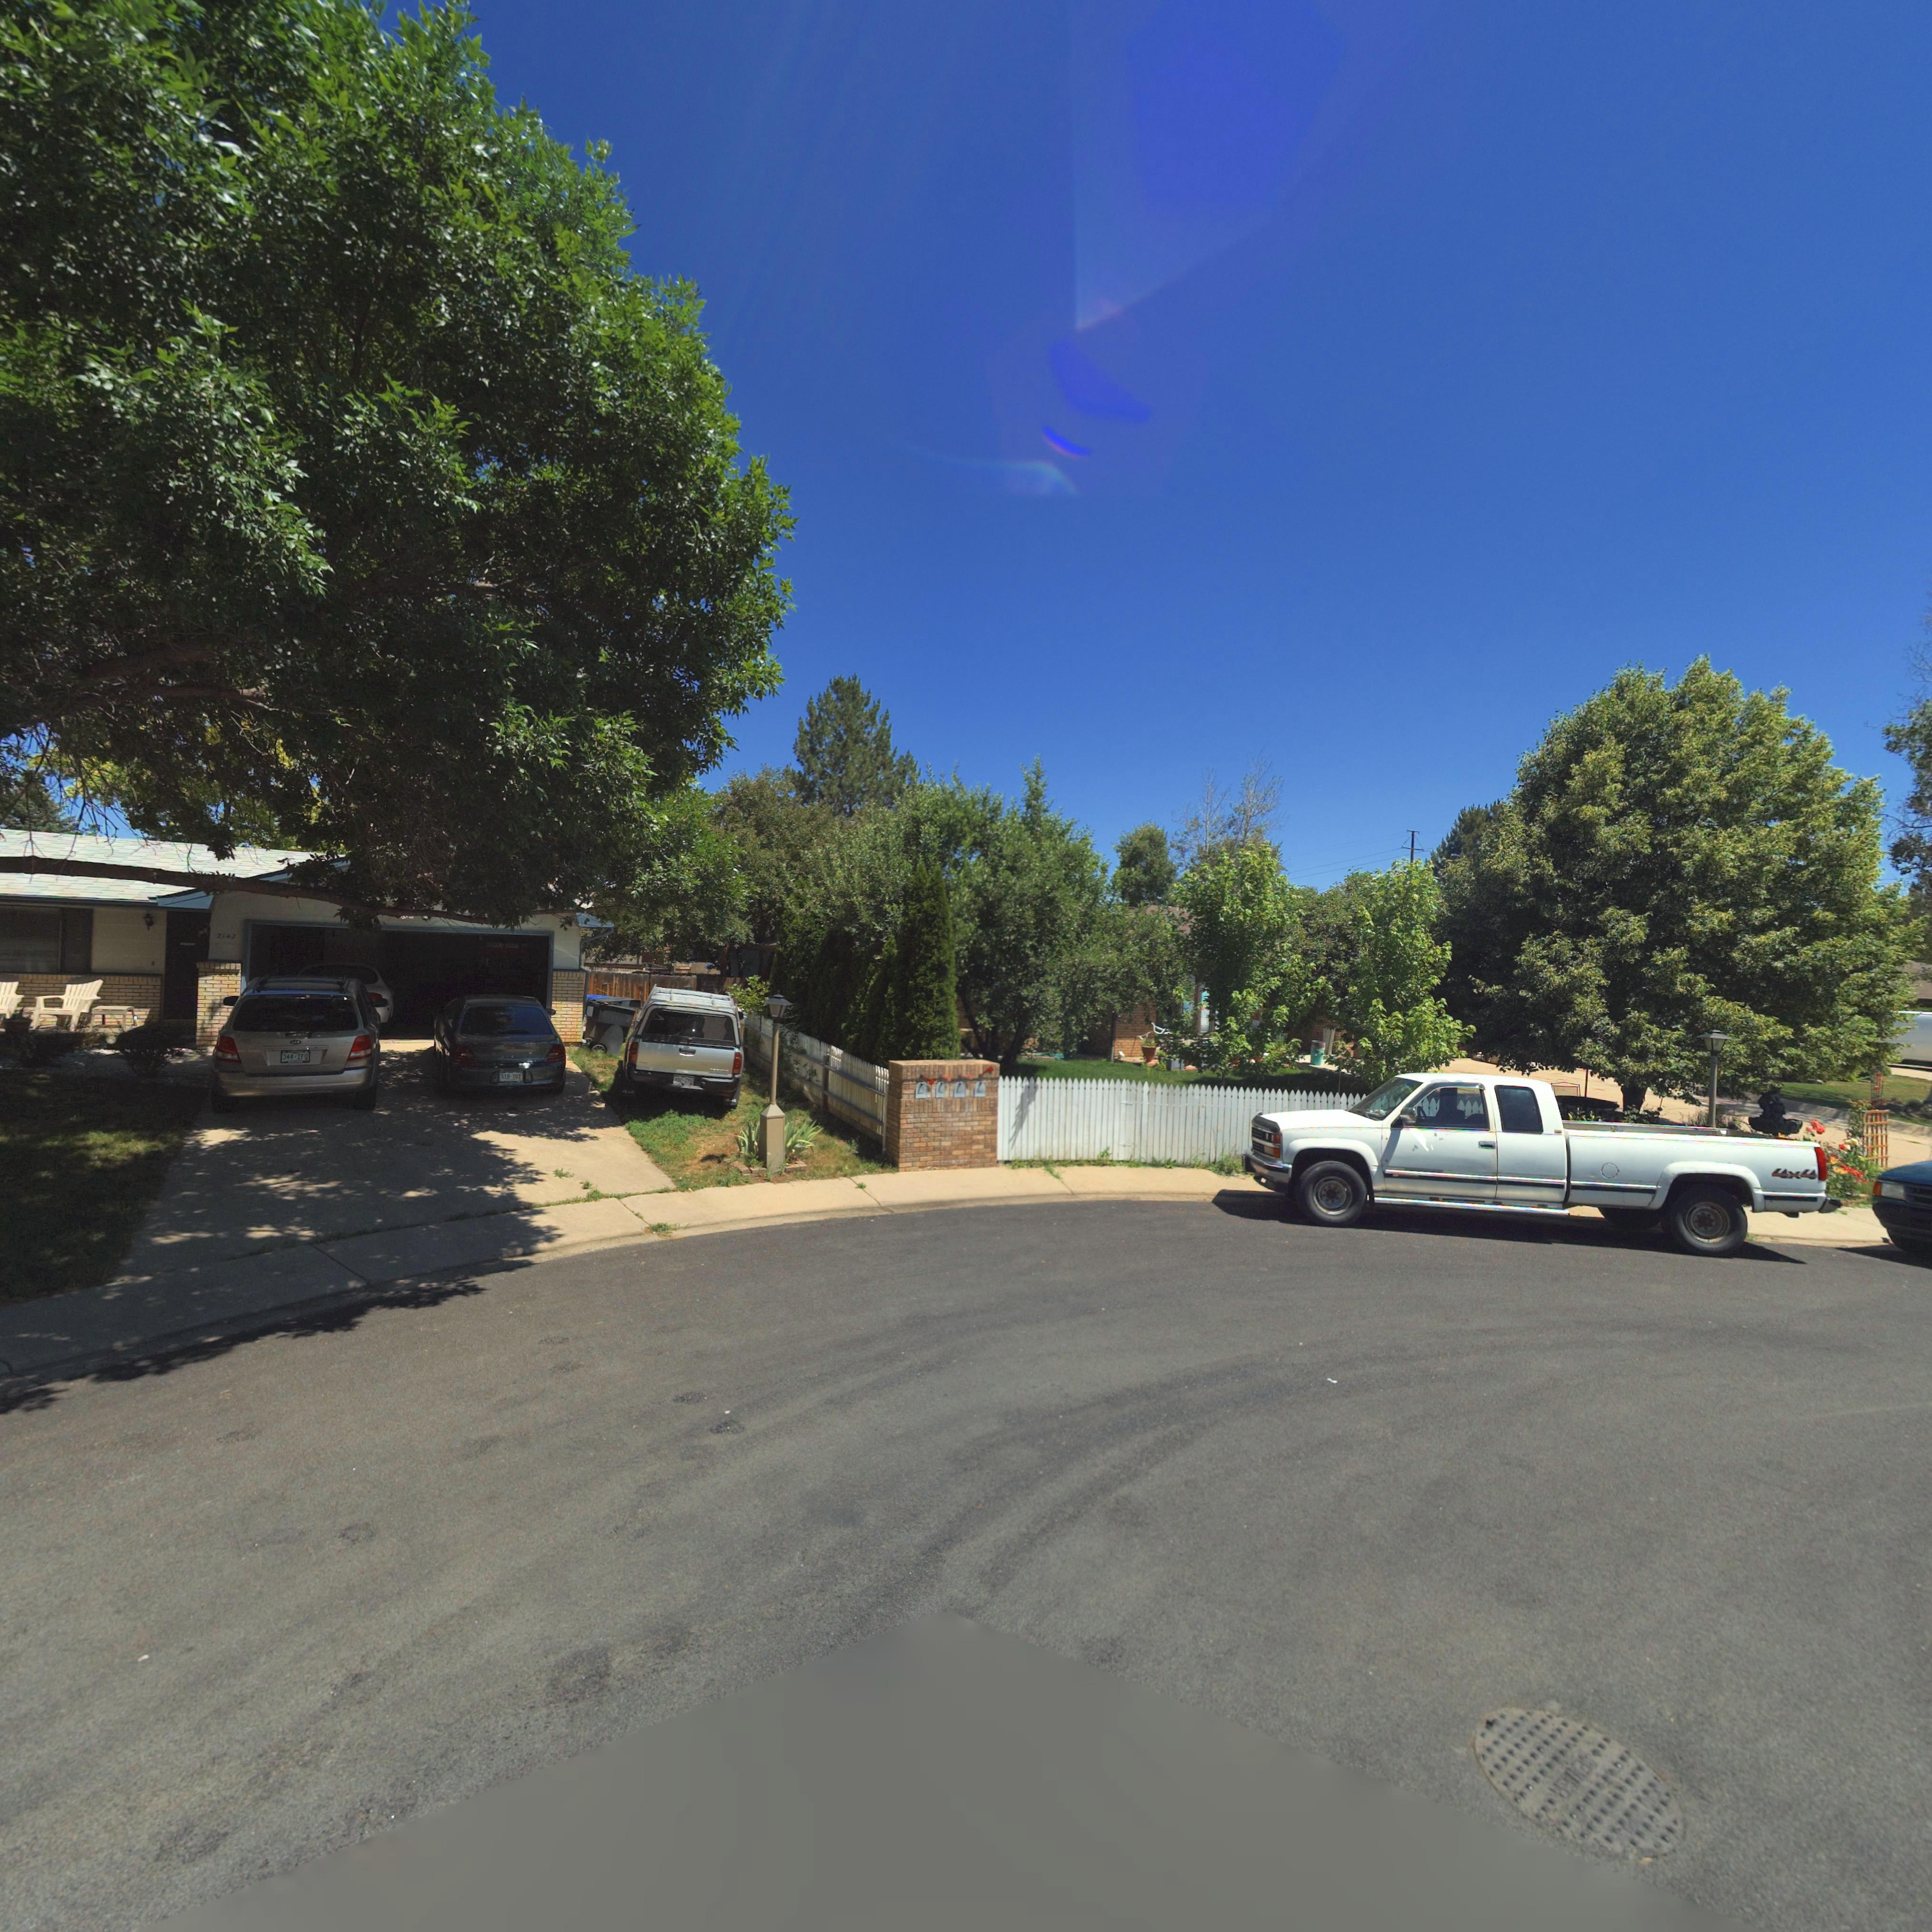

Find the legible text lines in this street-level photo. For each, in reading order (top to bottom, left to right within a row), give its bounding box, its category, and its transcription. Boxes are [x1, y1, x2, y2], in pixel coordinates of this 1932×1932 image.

[216, 932, 236, 939] StreetNumber: 21*2